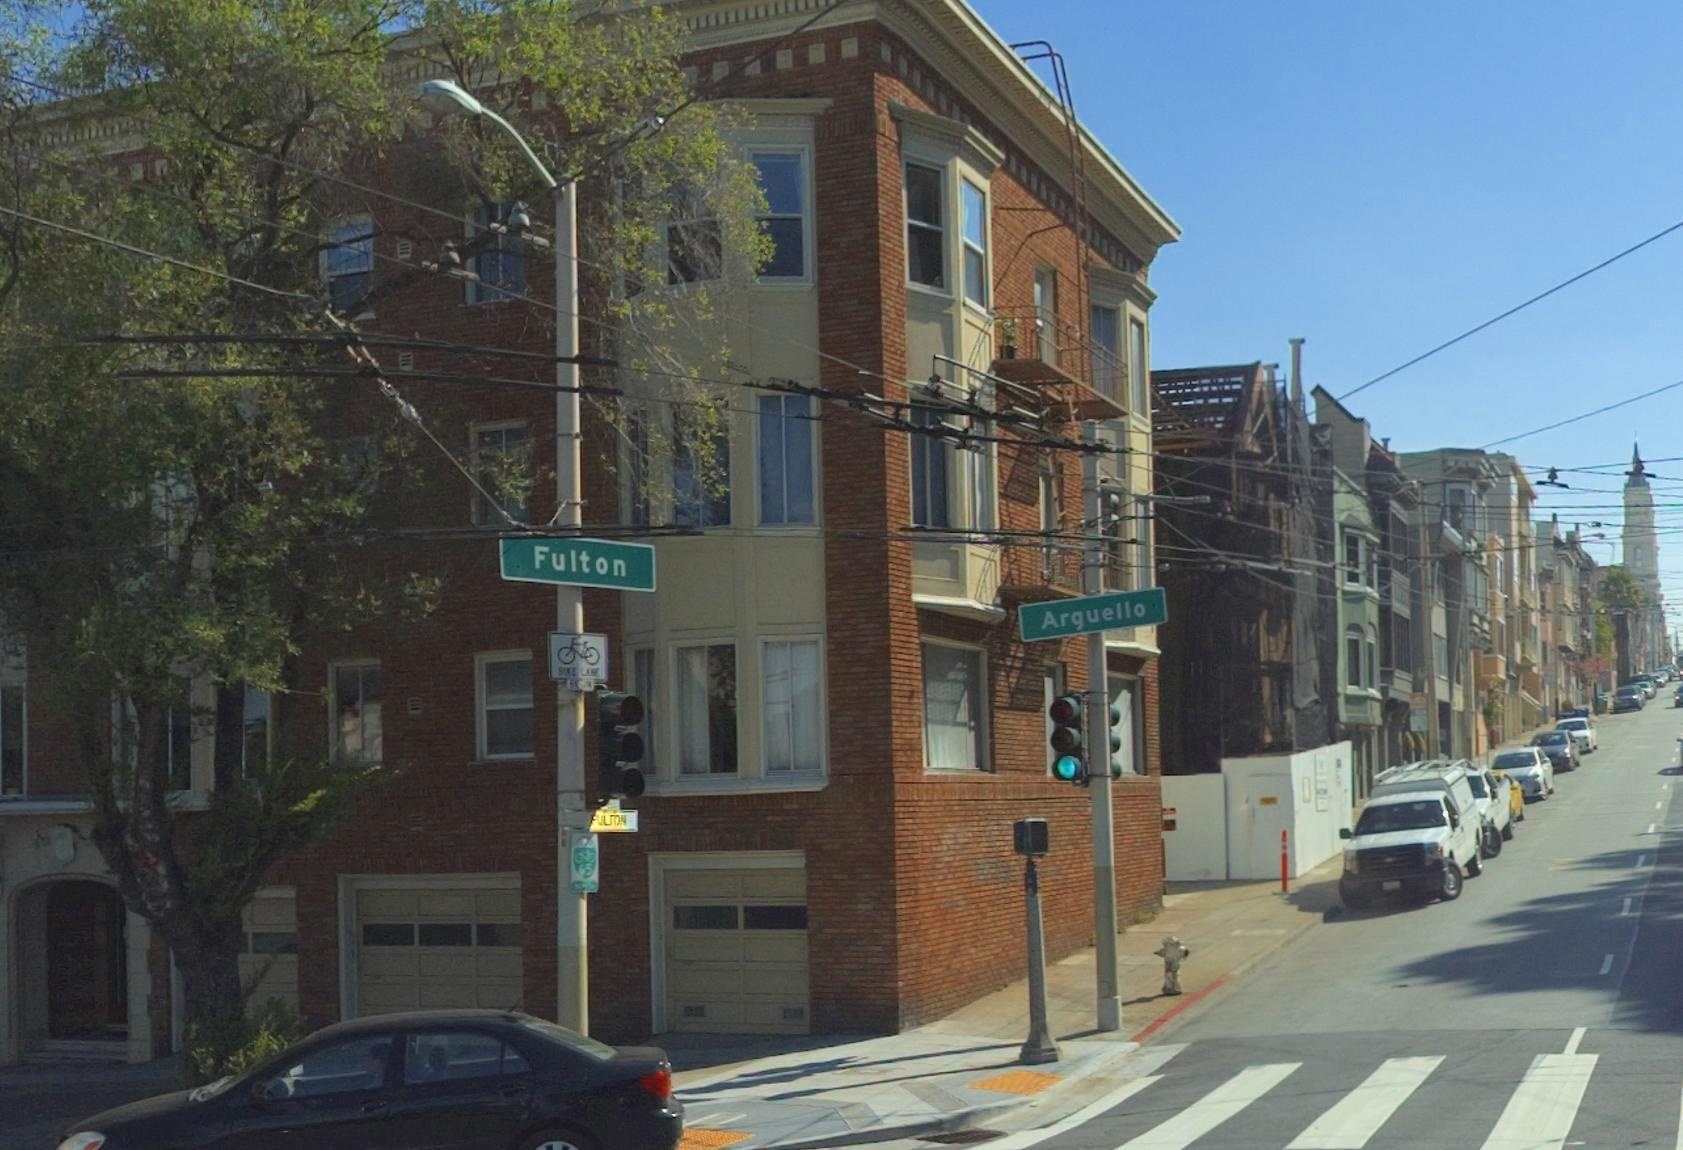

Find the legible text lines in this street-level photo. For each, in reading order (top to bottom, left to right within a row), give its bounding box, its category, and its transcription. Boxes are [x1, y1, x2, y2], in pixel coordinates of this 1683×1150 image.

[533, 543, 628, 580] StreetName: Fulton
[1040, 596, 1147, 636] StreetName: Arguello
[555, 664, 602, 679] None: BIKE LANE
[590, 813, 628, 828] None: FULTON
[577, 862, 595, 877] None: 65